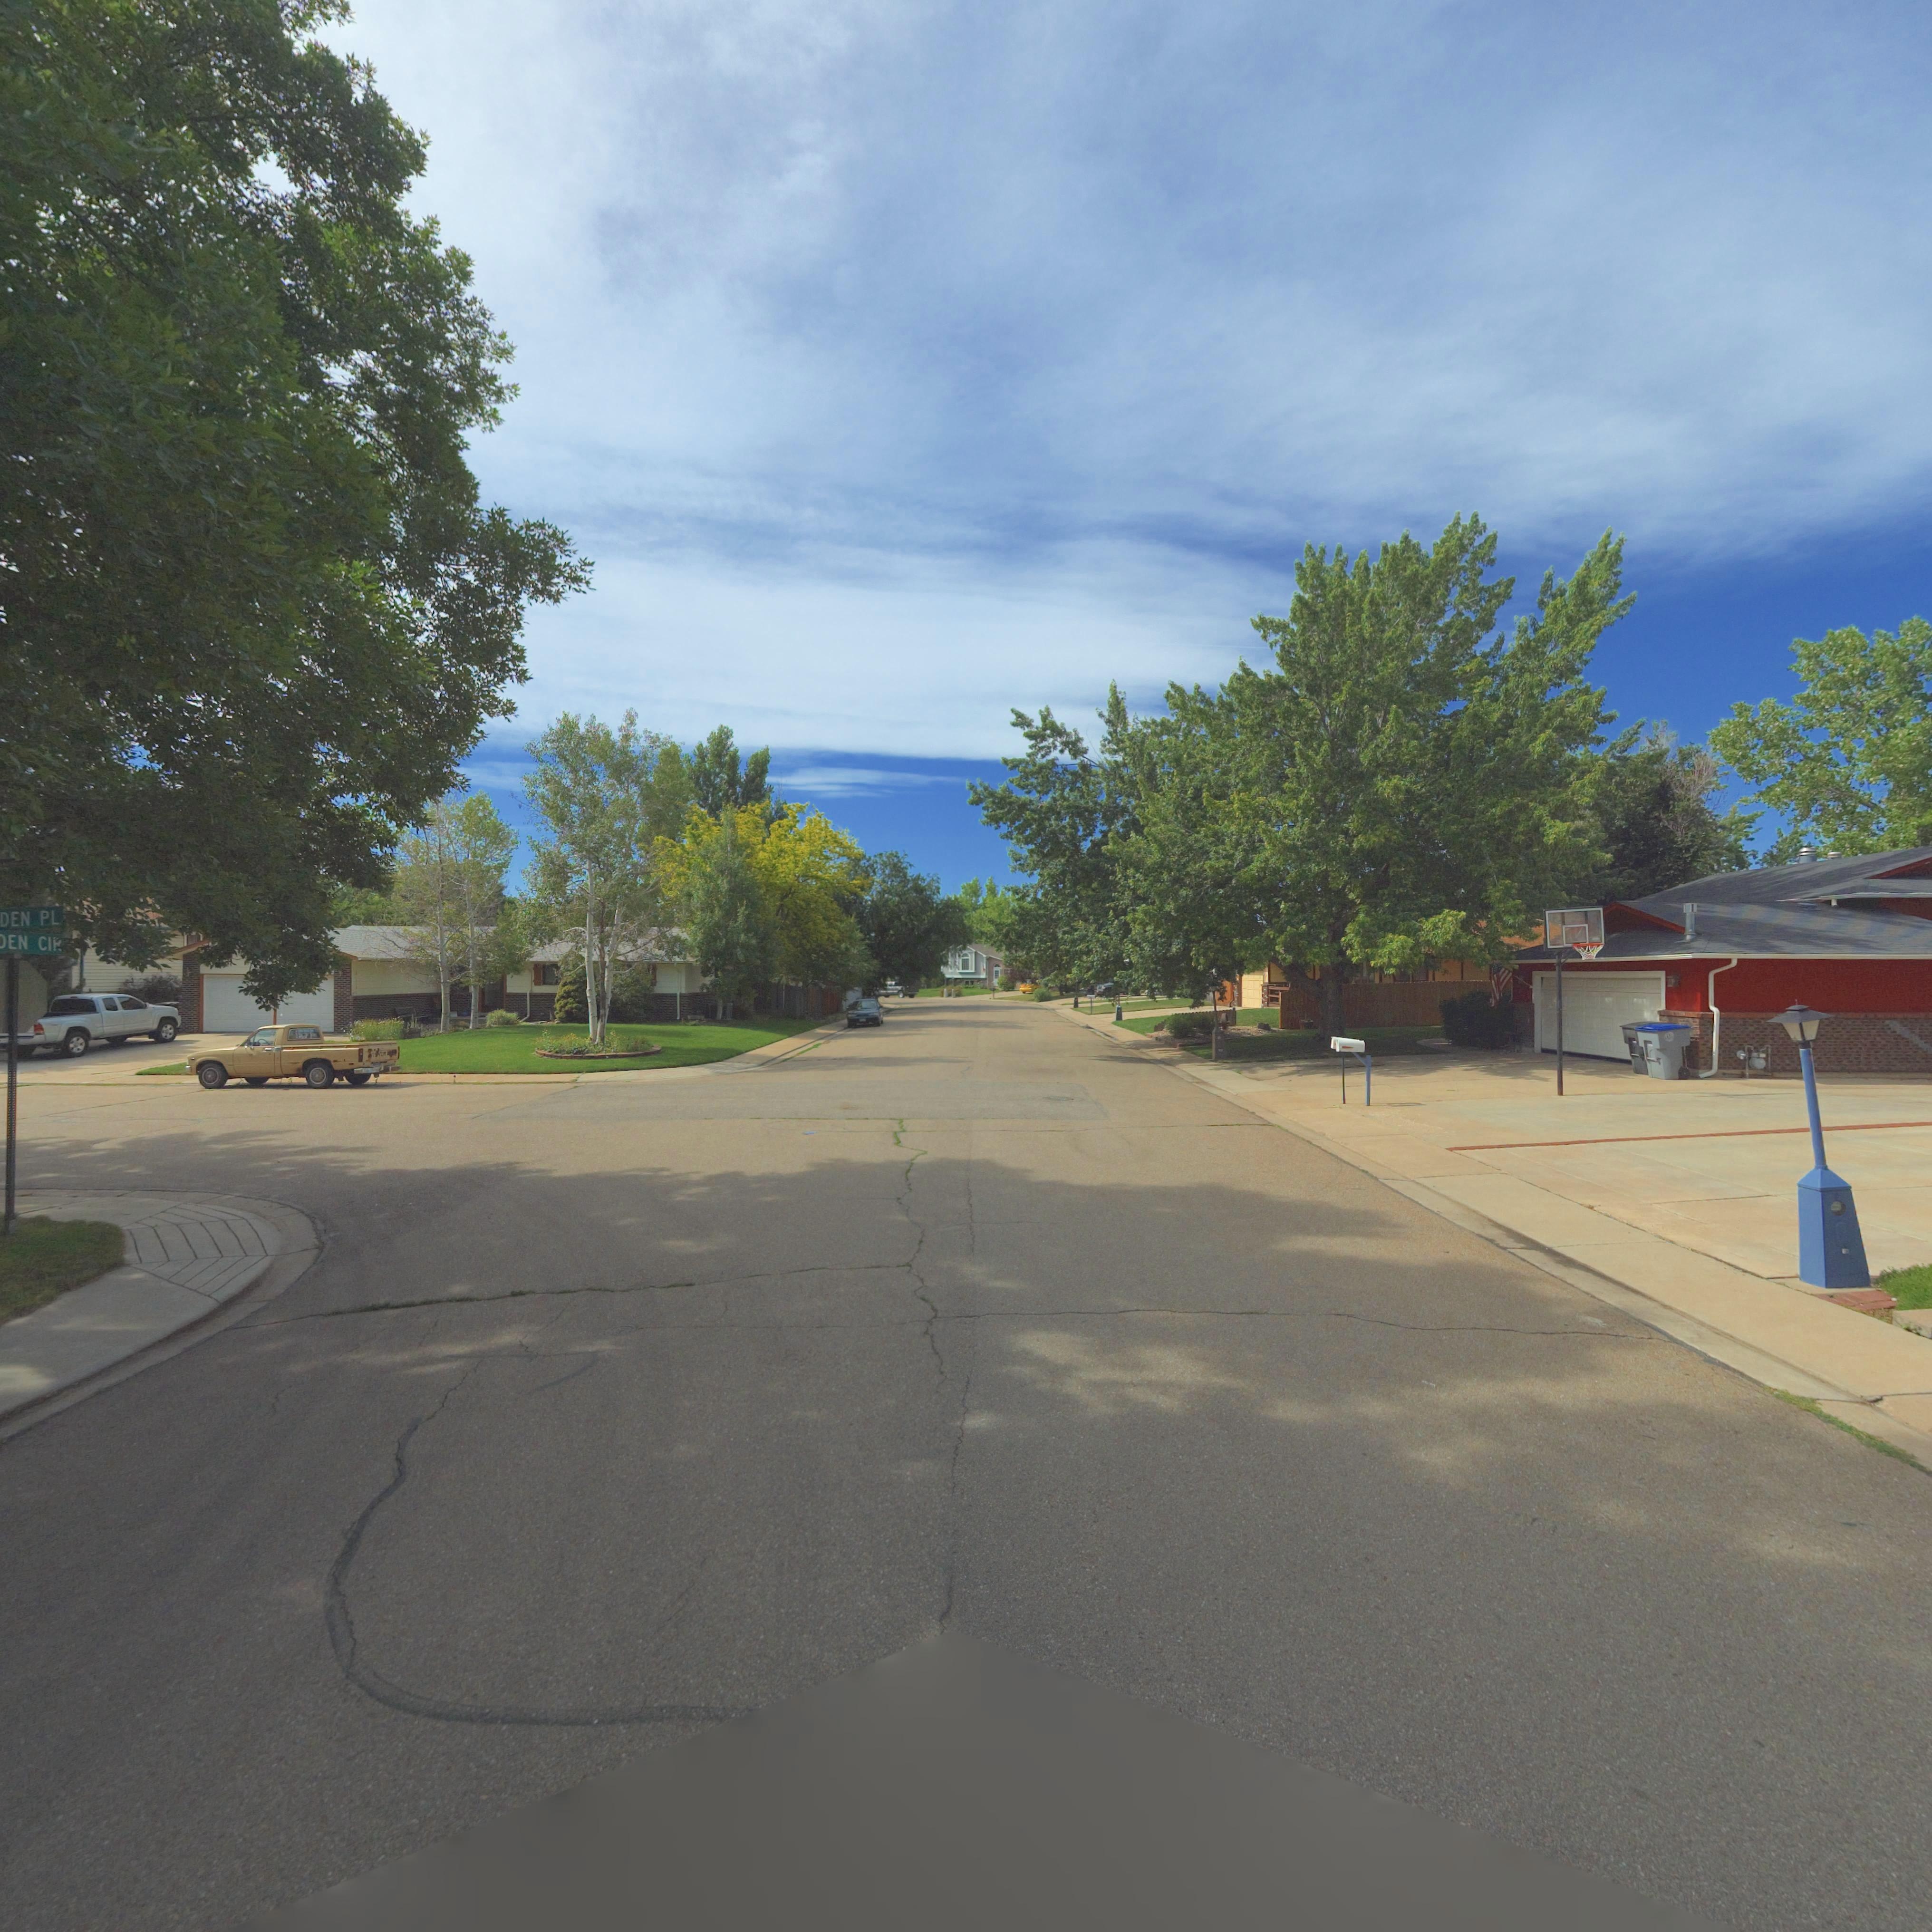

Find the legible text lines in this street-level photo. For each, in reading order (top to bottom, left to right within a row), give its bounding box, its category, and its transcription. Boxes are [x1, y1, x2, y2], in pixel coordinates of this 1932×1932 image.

[0, 909, 60, 927] StreetName: DEN PL
[8, 934, 63, 952] StreetName: EN CIR